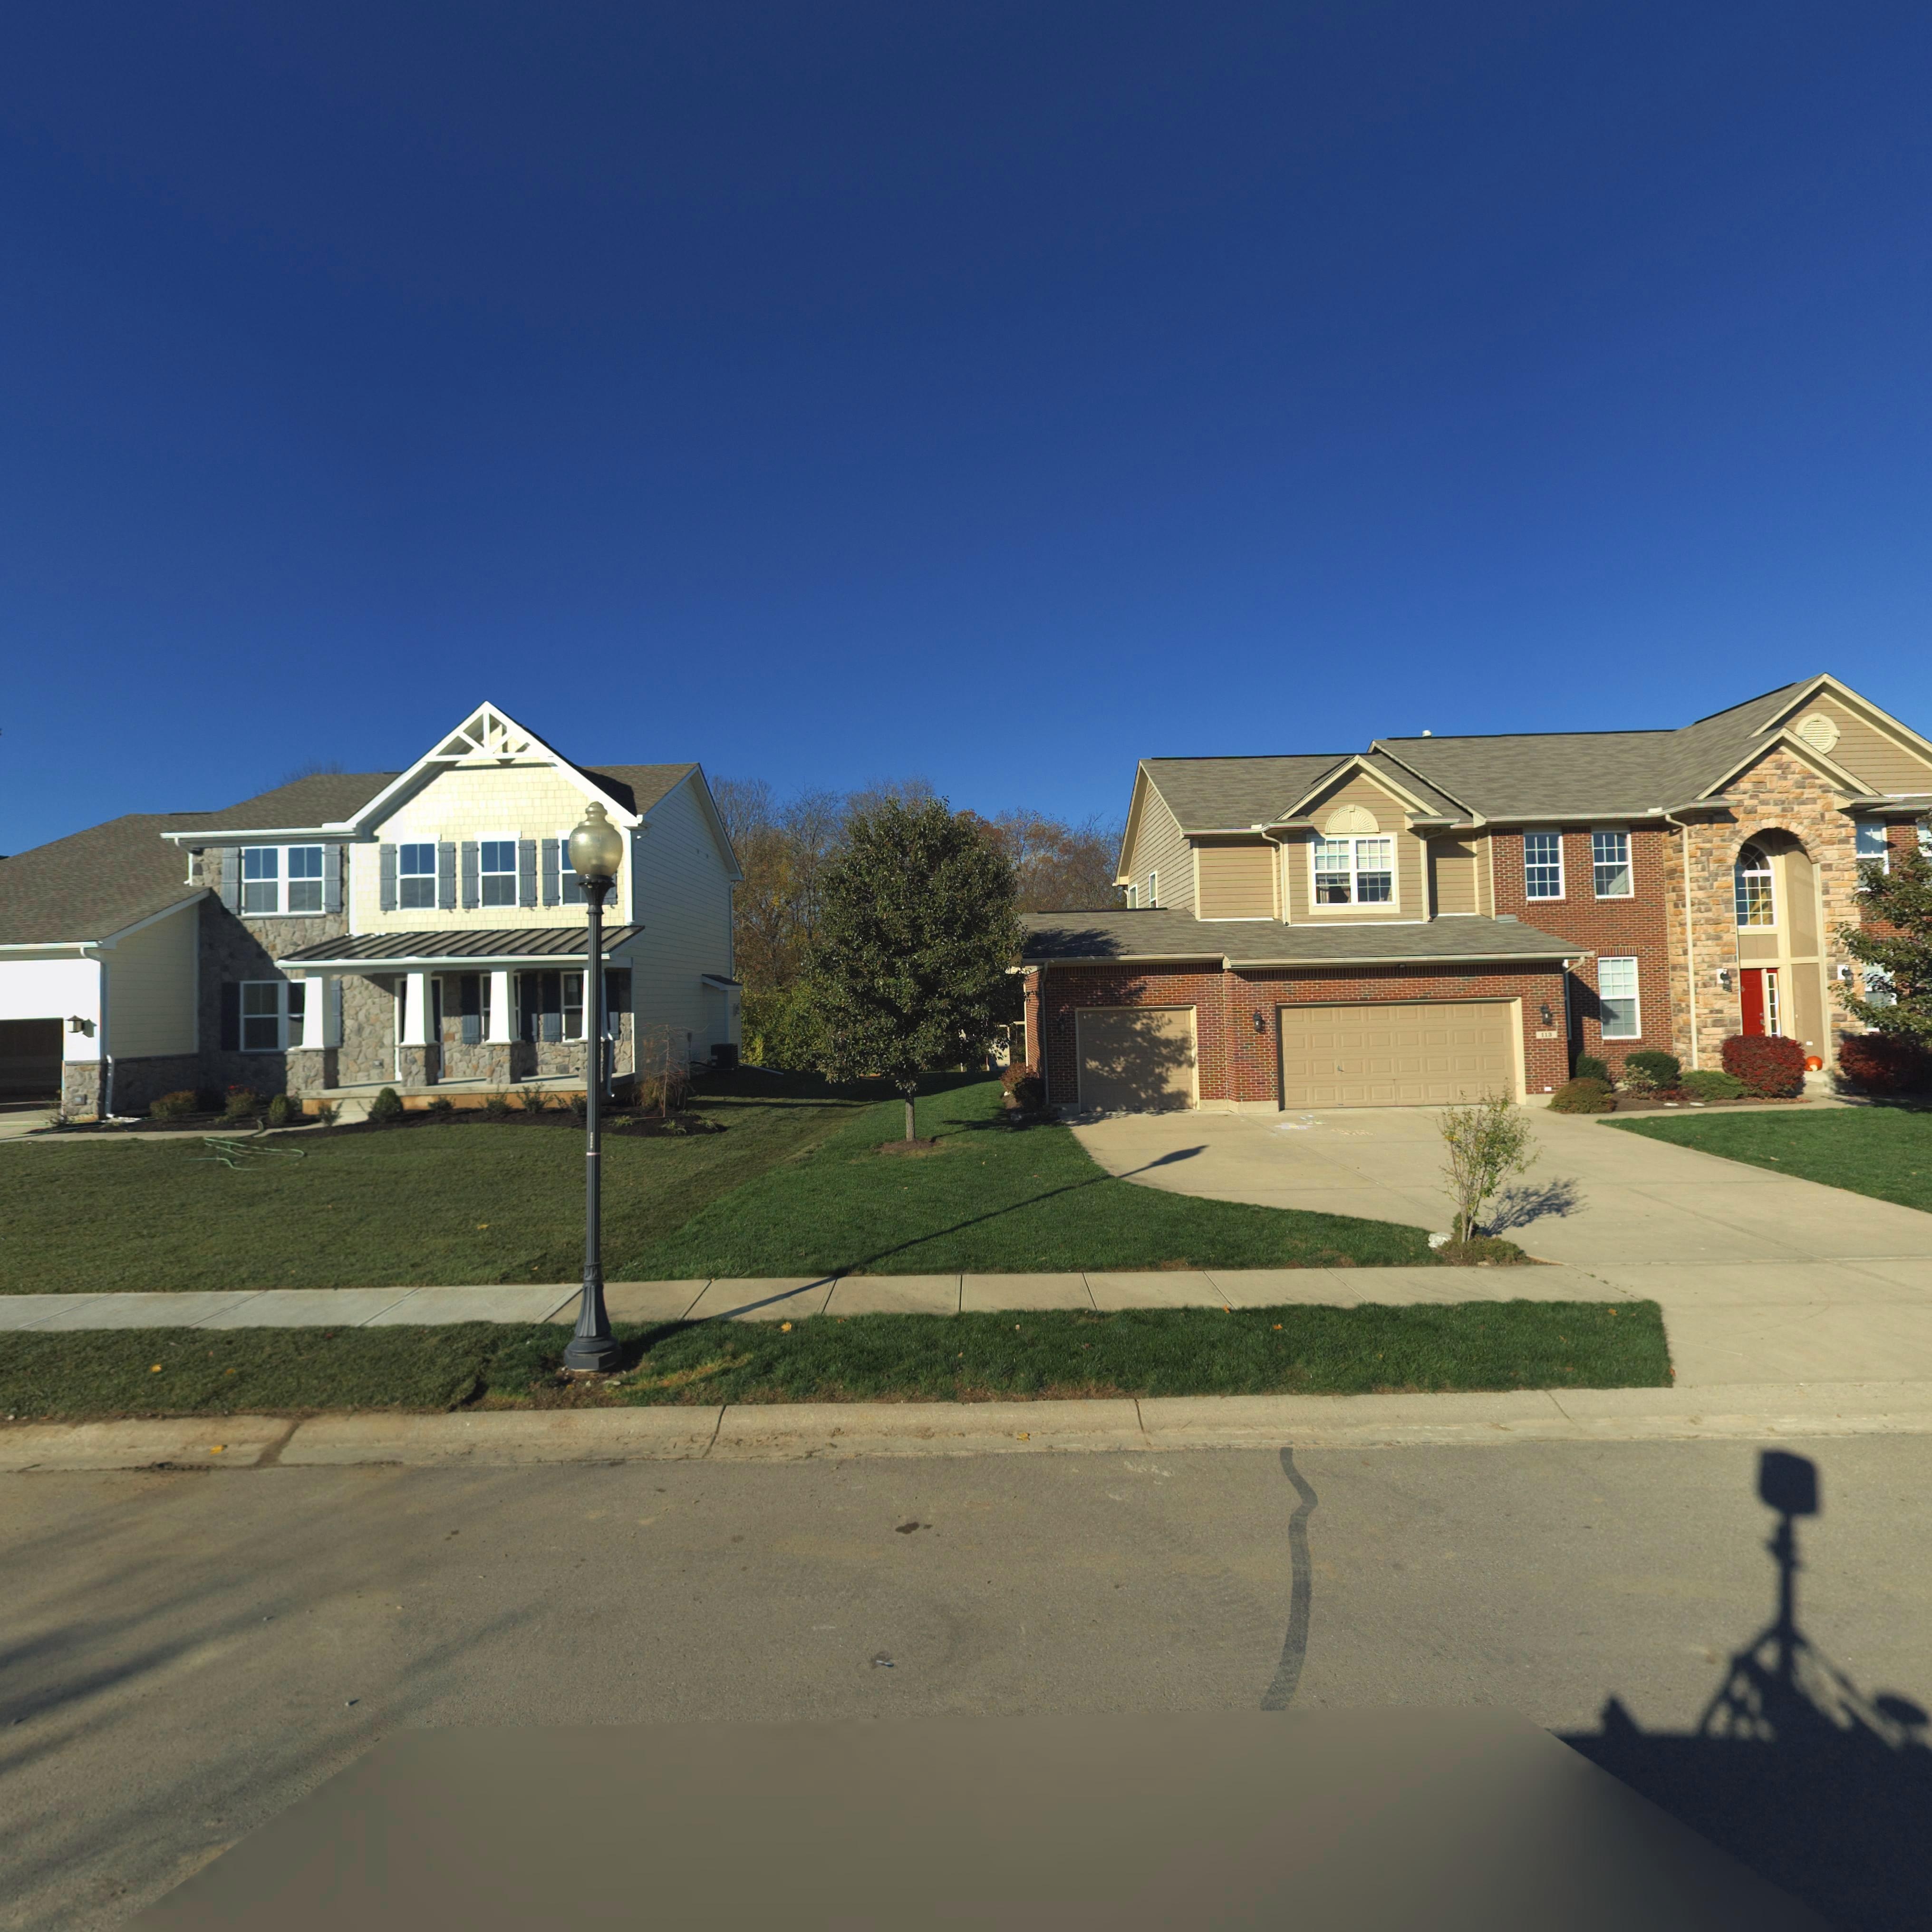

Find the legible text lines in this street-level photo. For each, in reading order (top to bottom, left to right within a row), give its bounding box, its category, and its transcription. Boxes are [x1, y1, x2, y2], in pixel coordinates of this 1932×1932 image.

[1540, 1031, 1553, 1038] StreetNumber: 113